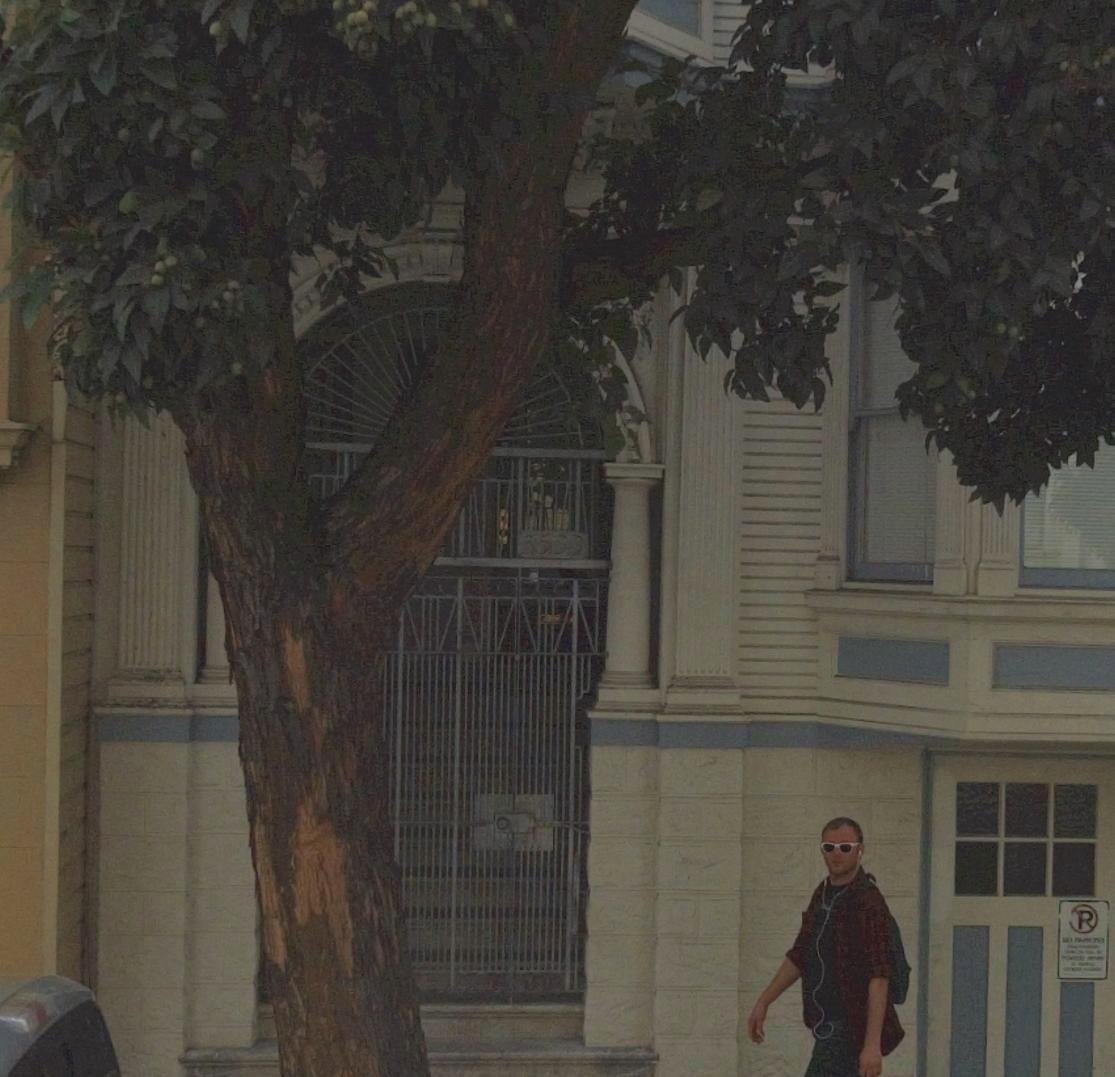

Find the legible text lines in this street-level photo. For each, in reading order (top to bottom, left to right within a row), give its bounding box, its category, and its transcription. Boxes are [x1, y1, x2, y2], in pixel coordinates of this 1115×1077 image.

[520, 532, 584, 558] StreetNumber: 3533